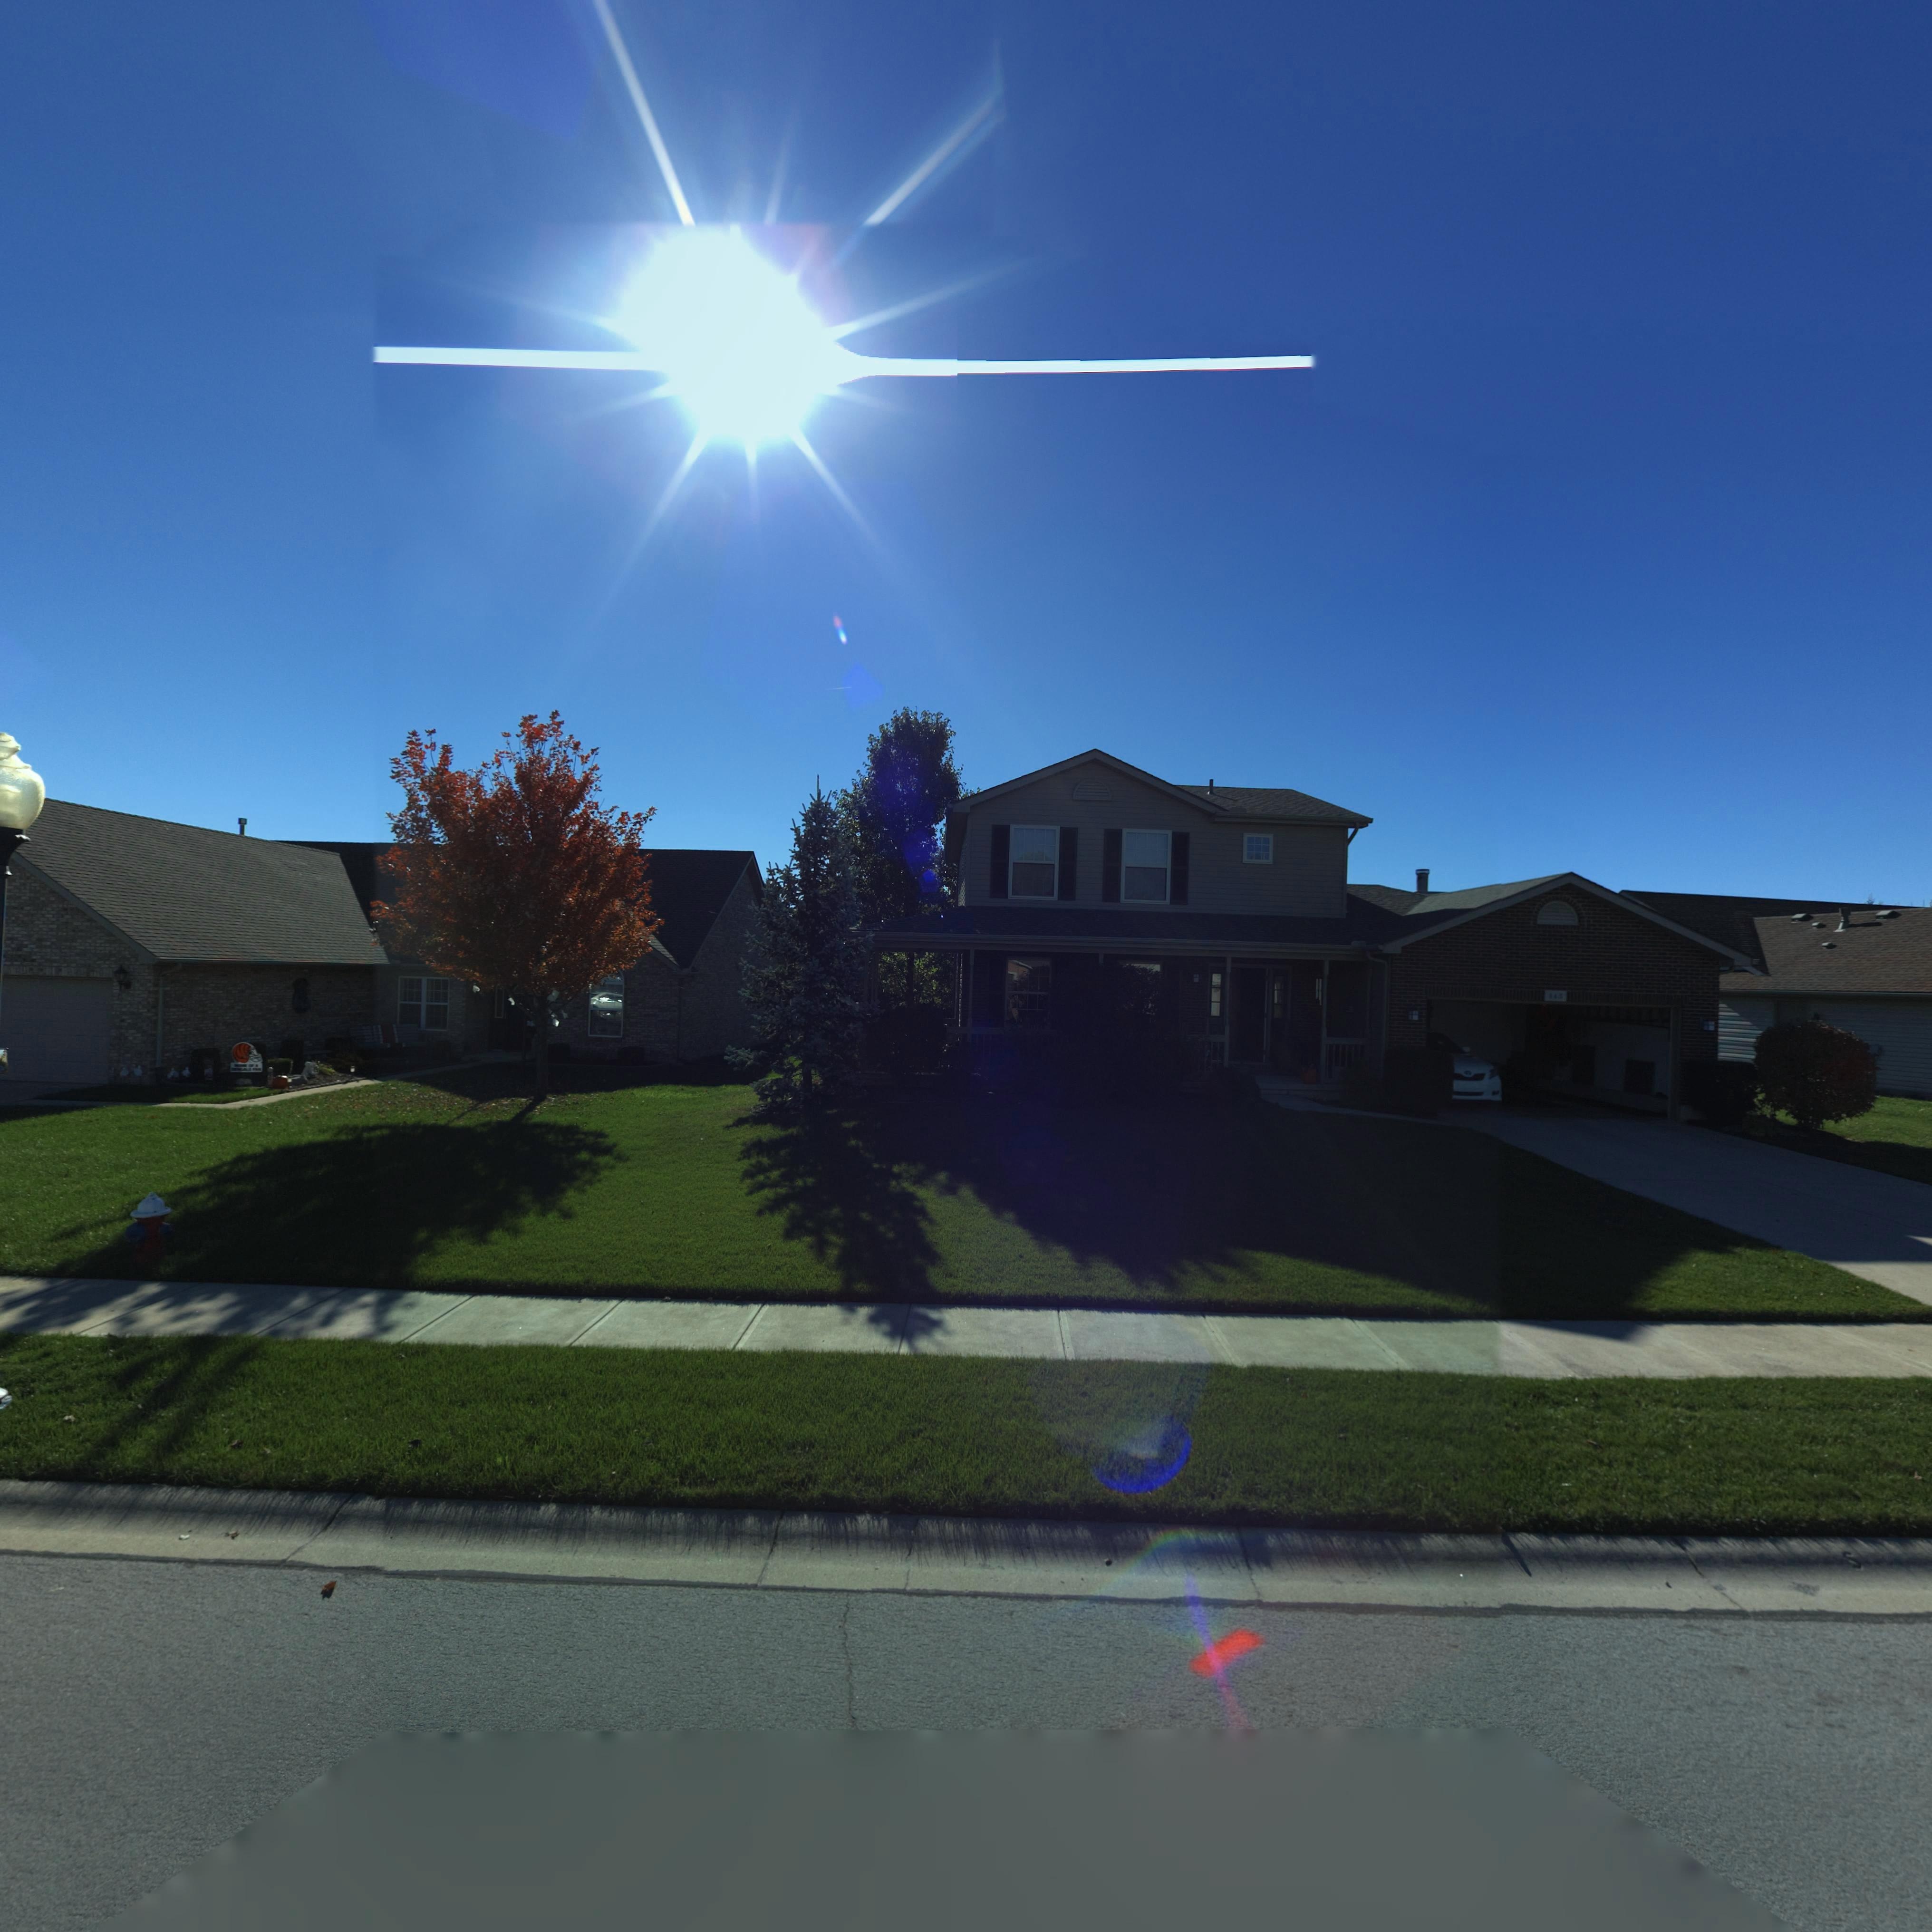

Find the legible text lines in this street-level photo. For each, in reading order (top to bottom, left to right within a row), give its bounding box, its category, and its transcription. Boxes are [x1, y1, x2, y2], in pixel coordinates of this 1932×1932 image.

[1548, 992, 1564, 1000] StreetNumber: 143